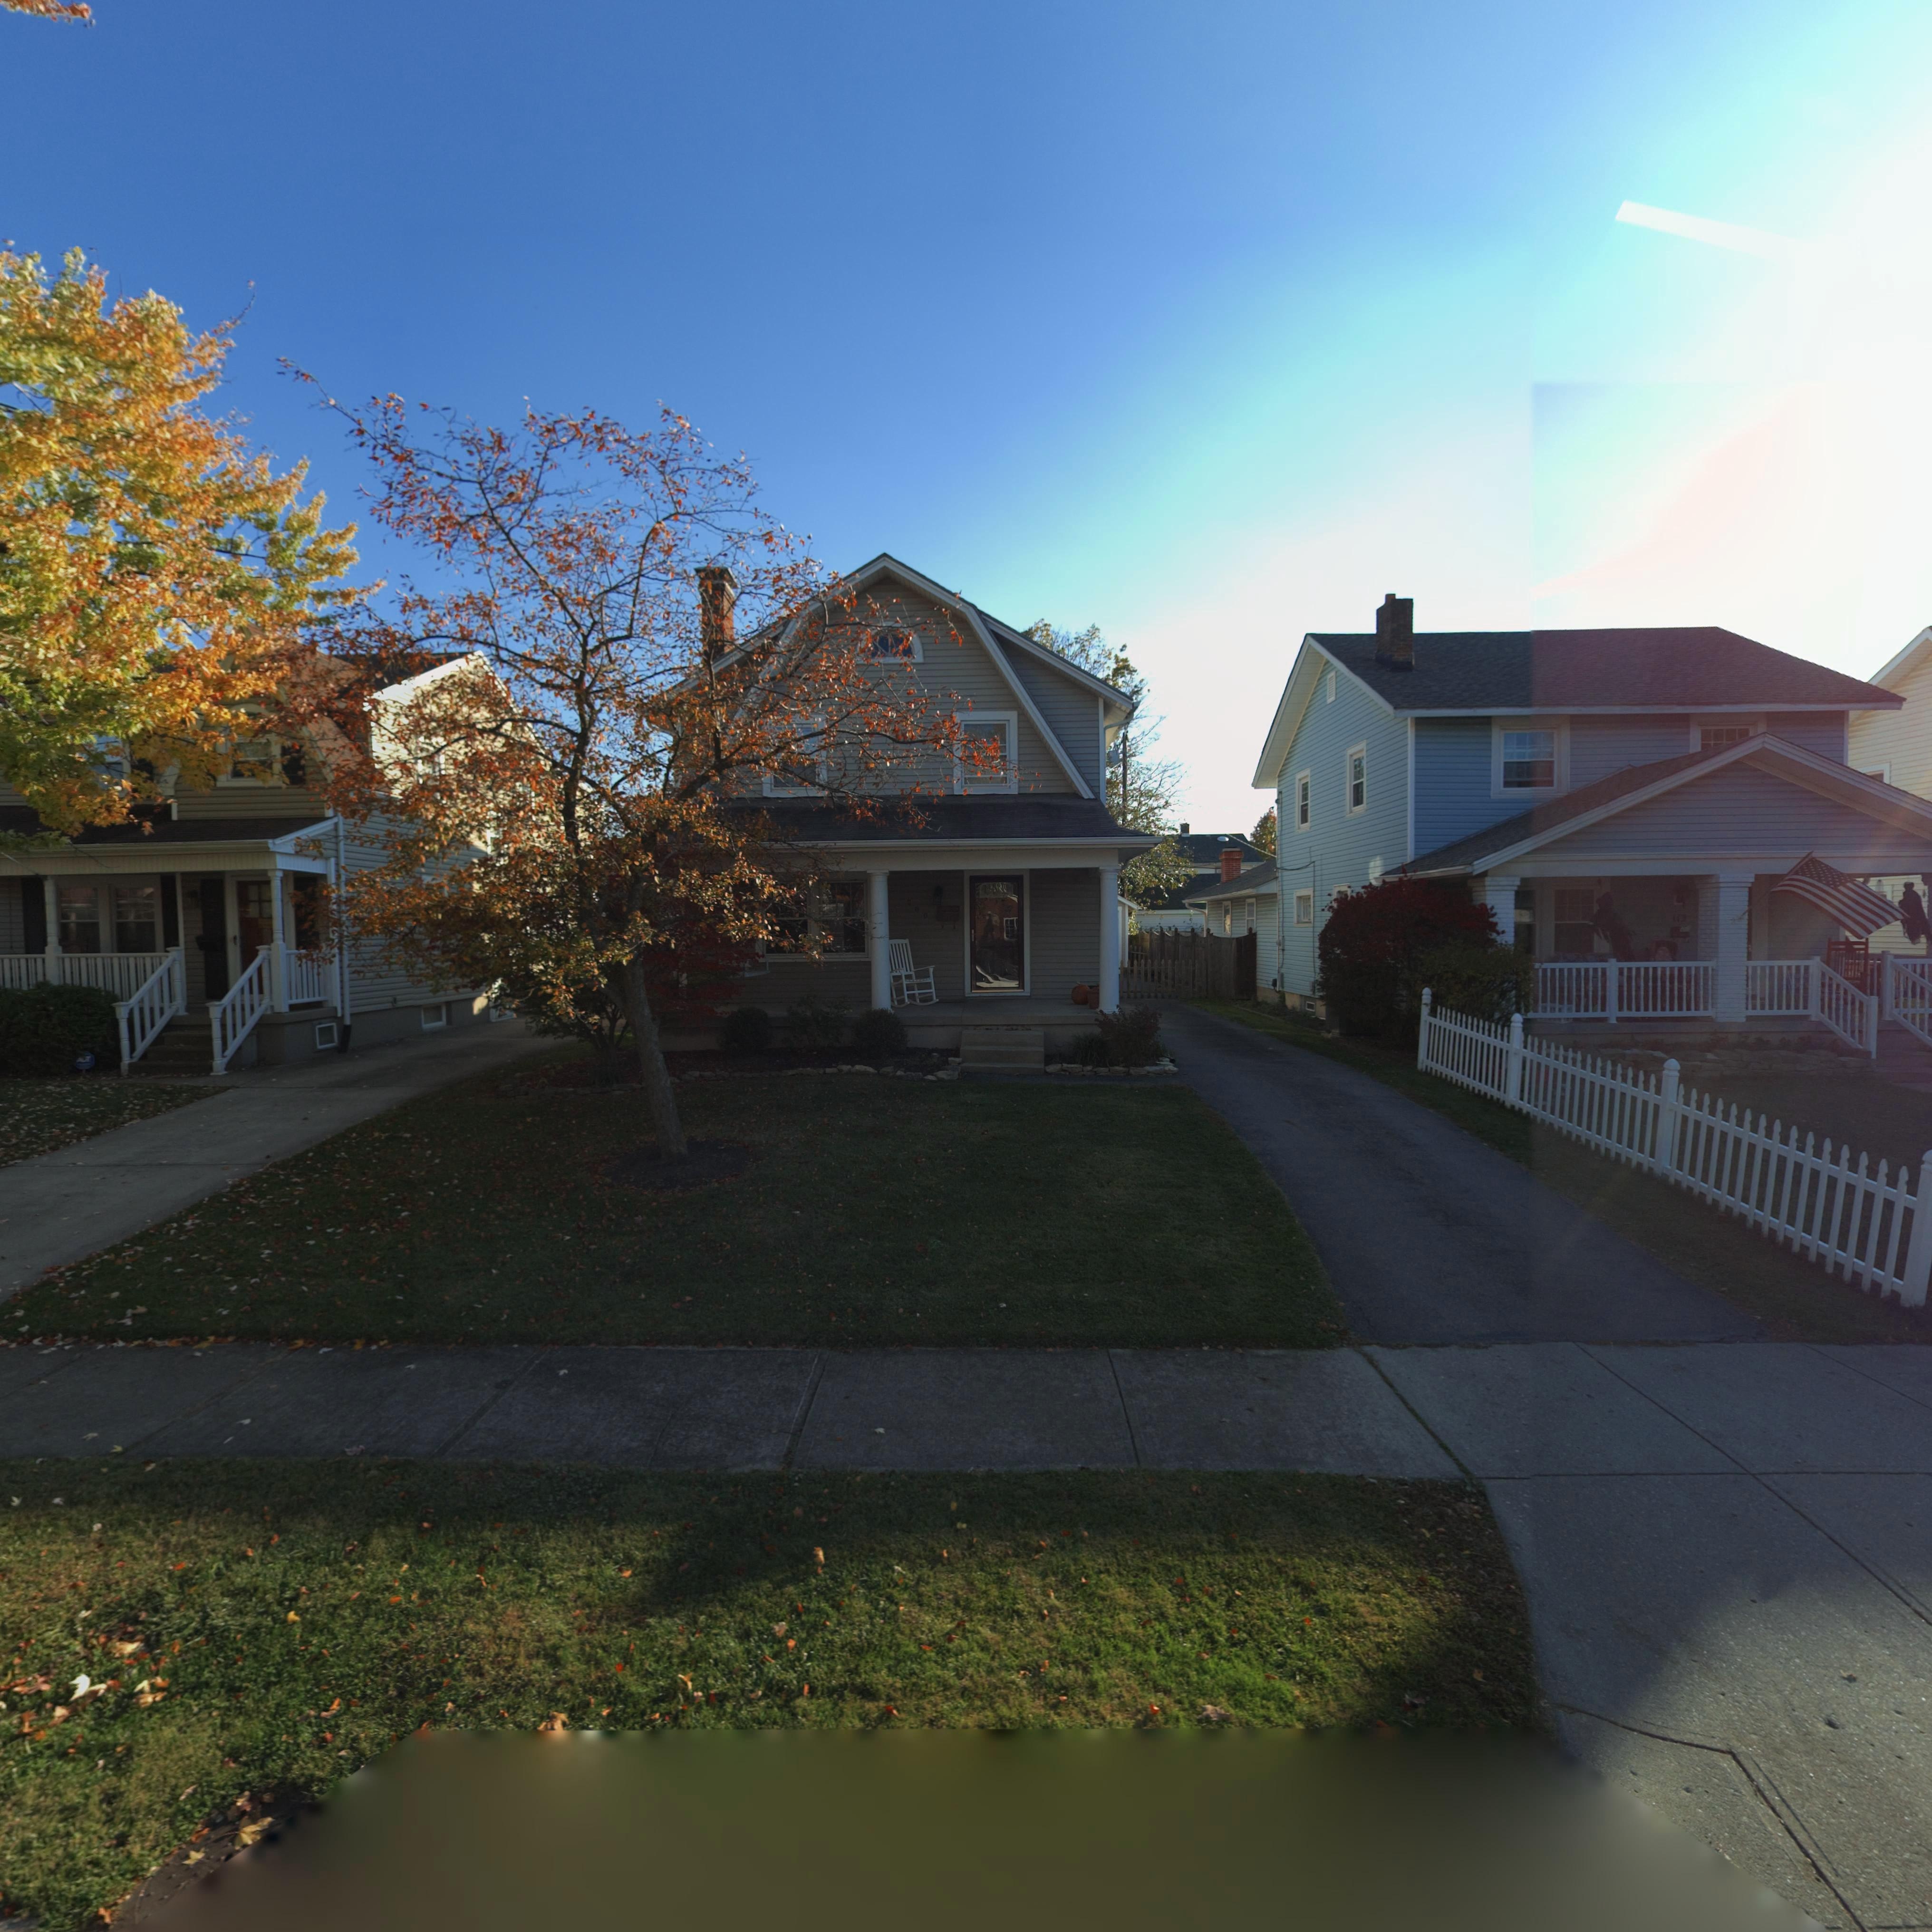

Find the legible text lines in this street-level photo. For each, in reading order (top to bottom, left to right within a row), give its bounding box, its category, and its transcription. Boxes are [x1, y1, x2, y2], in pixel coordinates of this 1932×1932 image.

[906, 898, 928, 919] StreetNumber: 200
[1671, 913, 1688, 923] StreetNumber: 112